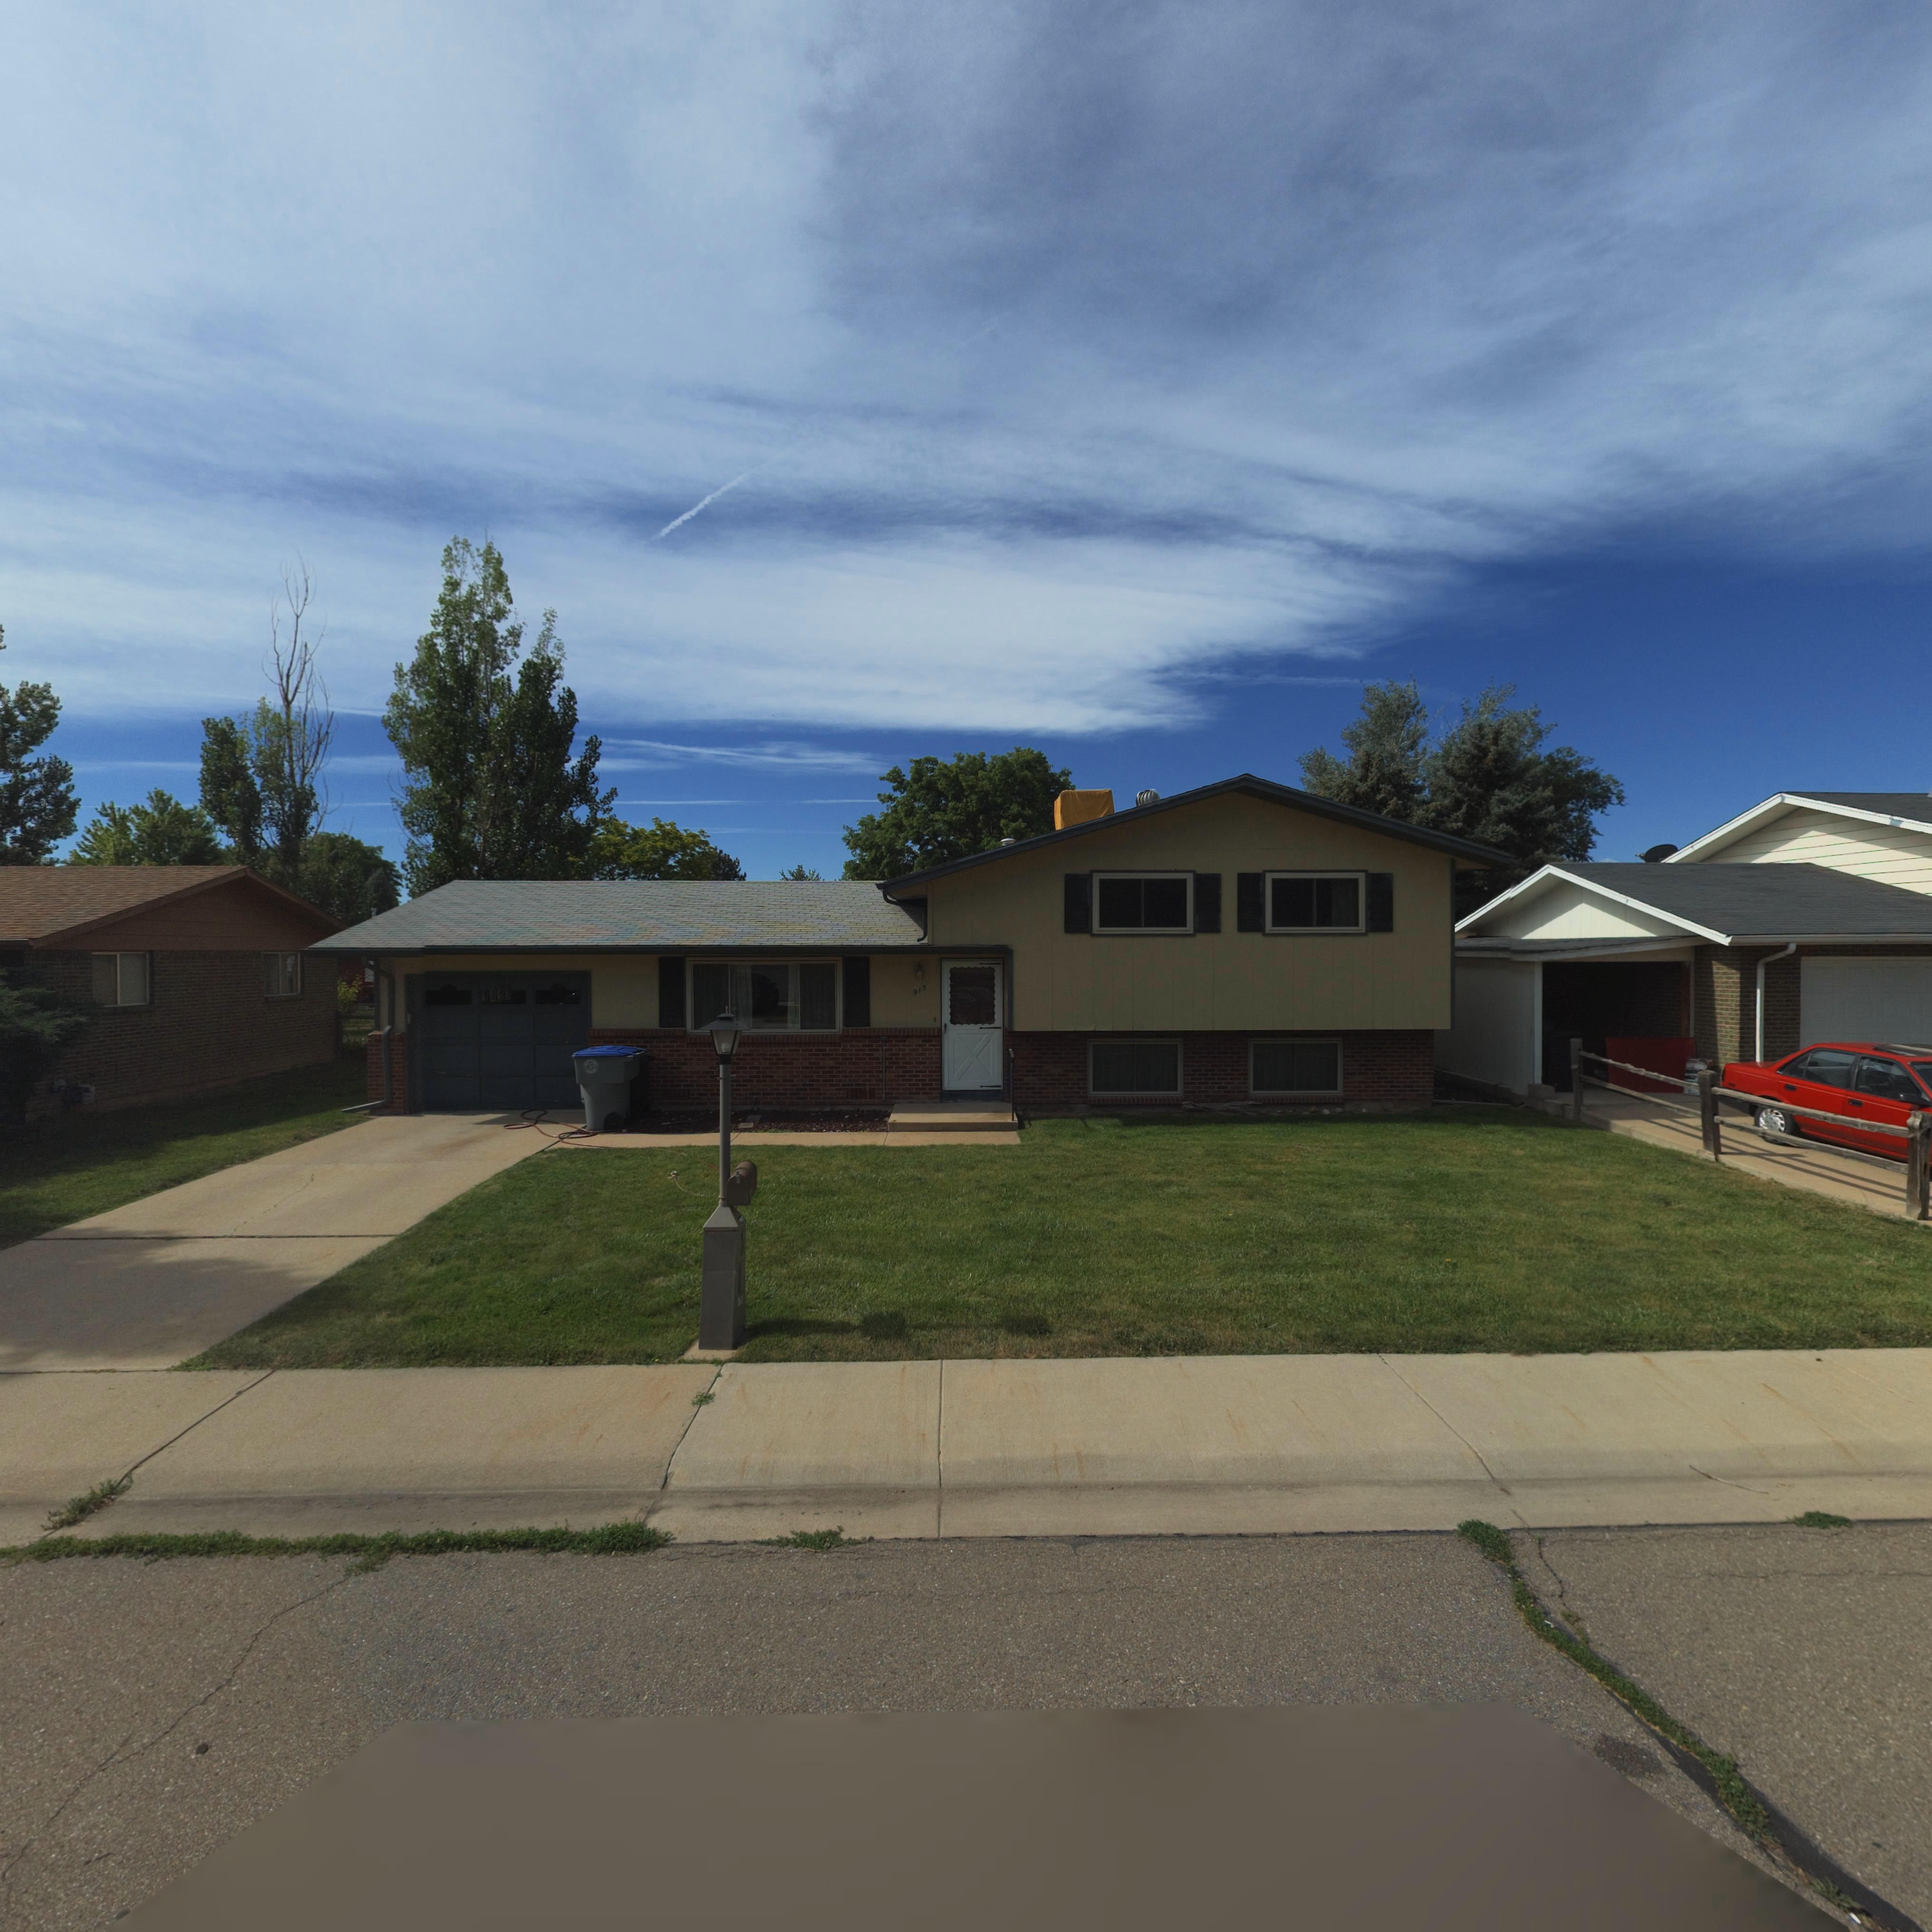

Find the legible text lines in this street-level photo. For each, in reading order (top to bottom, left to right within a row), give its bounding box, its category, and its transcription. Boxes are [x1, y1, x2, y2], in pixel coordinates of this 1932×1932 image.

[912, 984, 926, 996] StreetNumber: 915